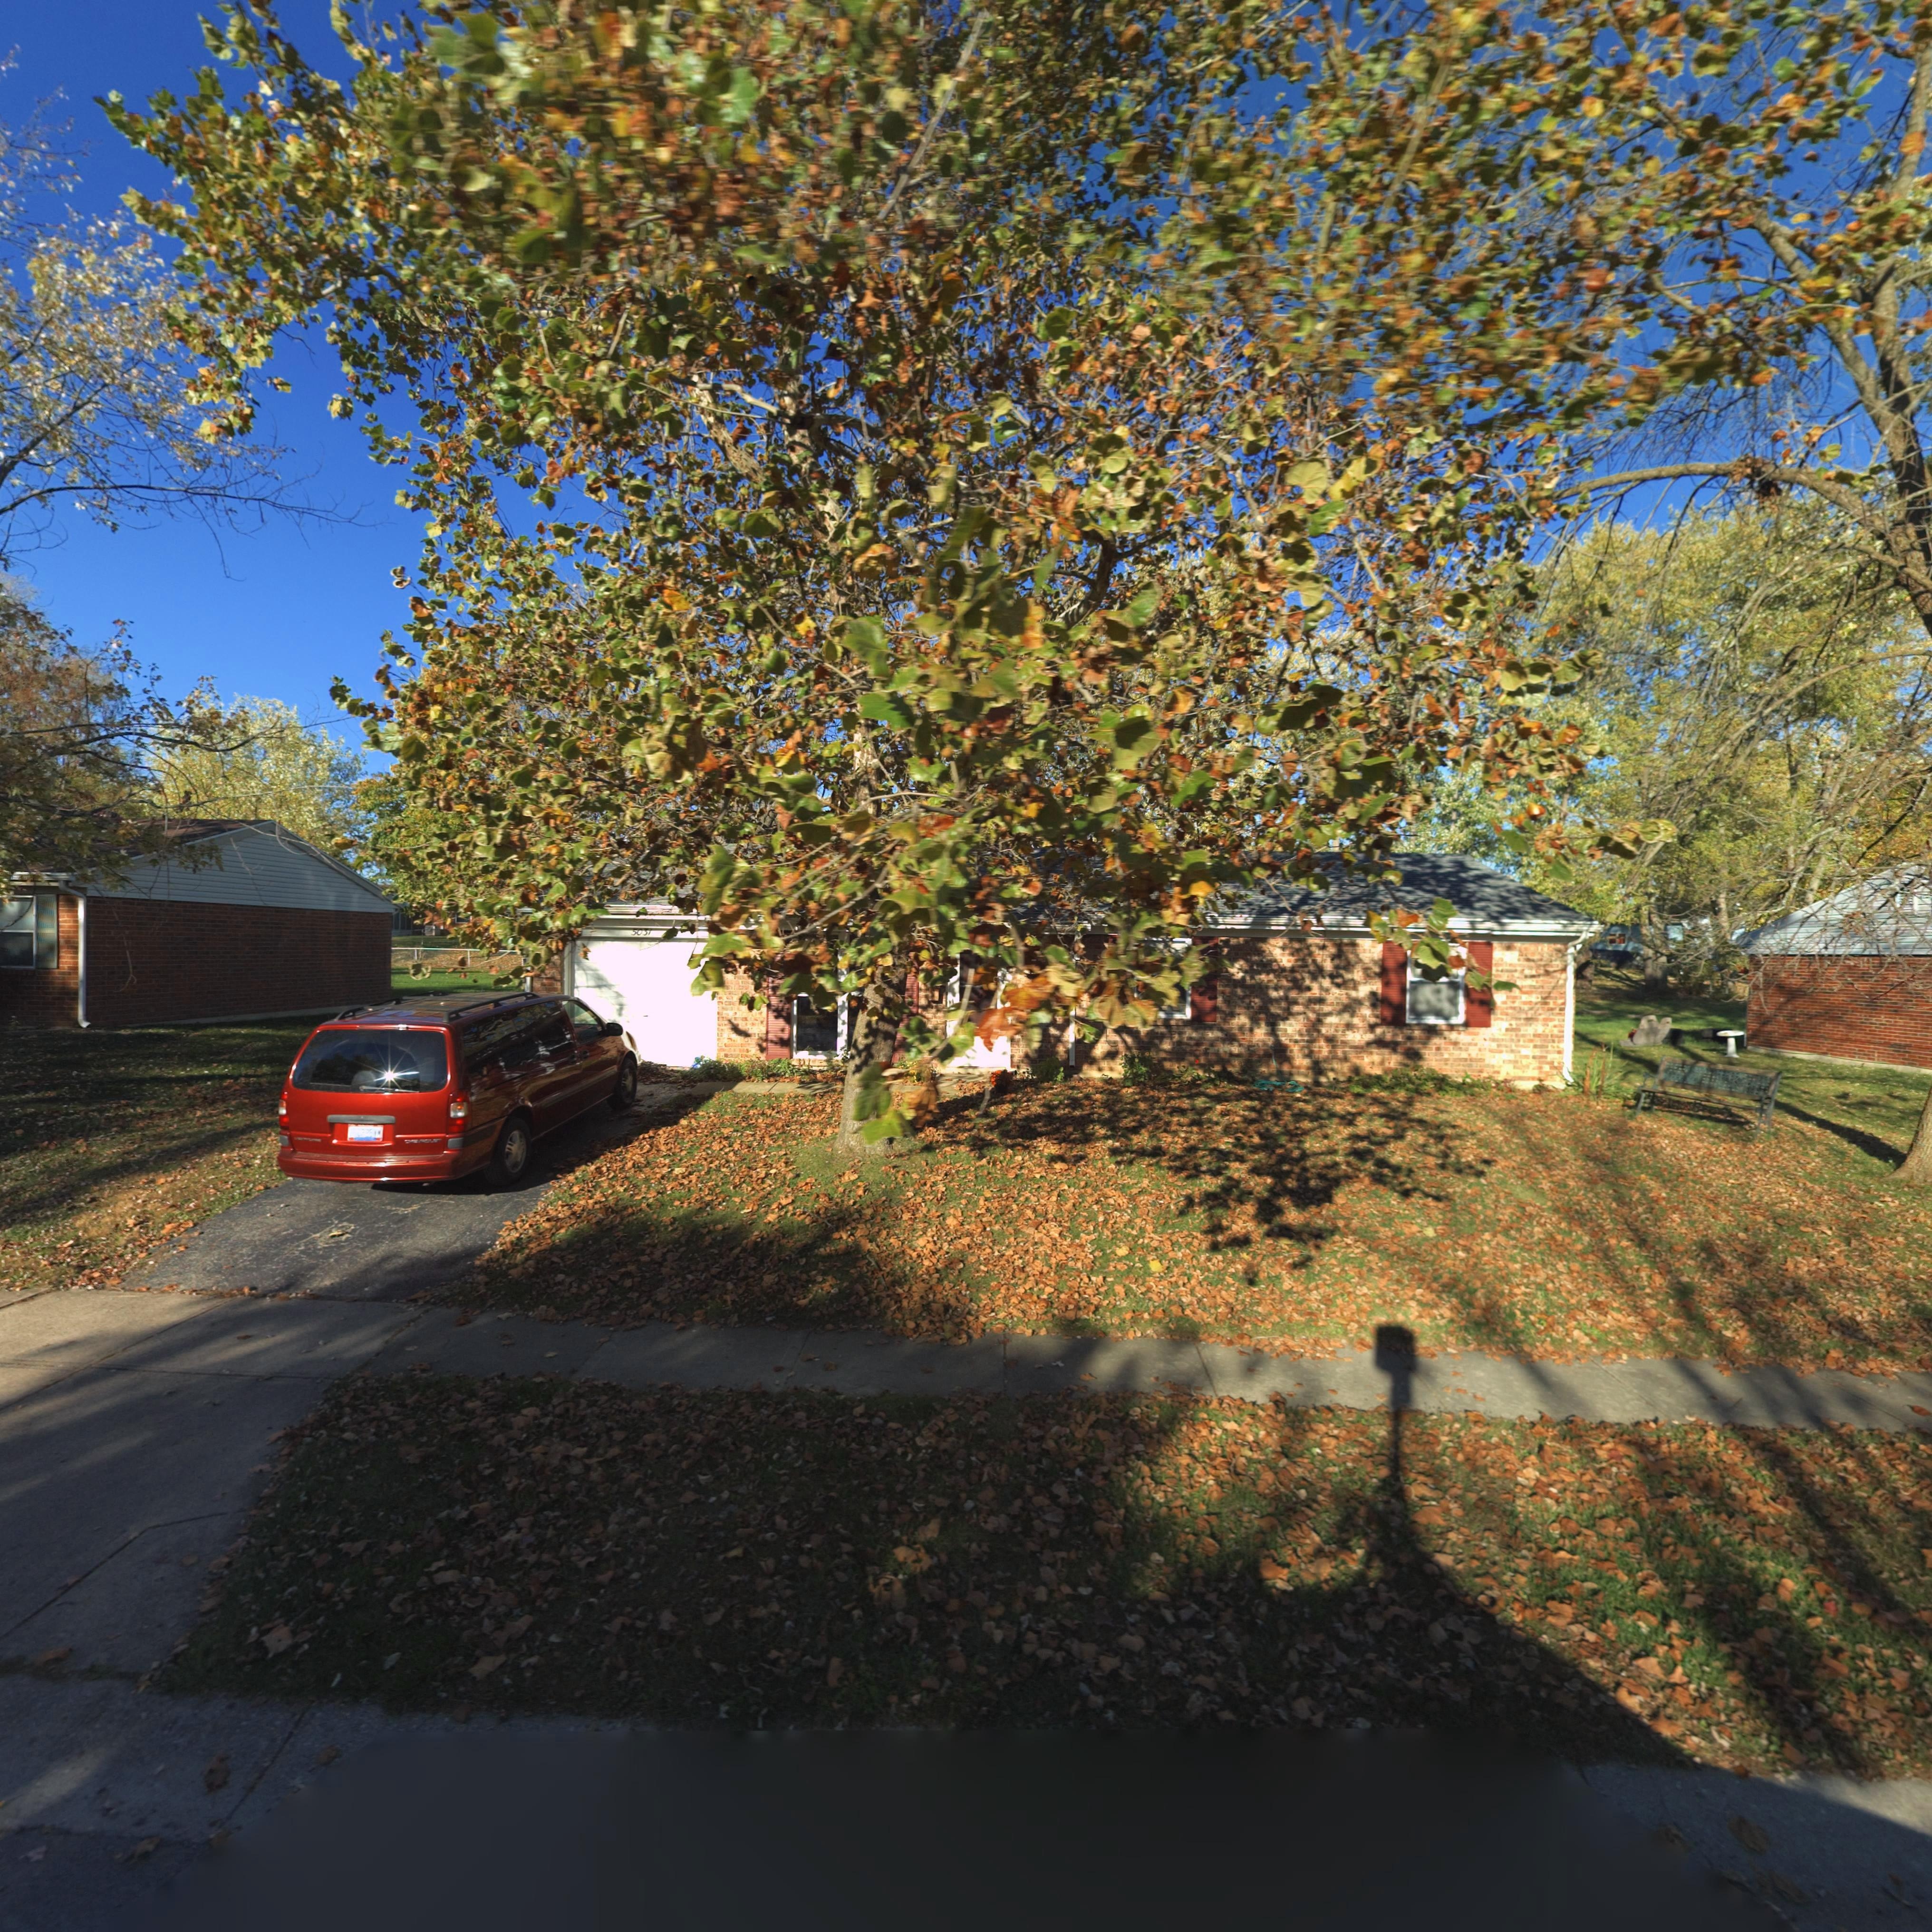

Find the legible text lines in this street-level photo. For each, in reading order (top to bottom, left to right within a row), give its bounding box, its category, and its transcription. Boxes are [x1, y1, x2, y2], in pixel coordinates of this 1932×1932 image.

[630, 927, 654, 936] StreetNumber: 5031